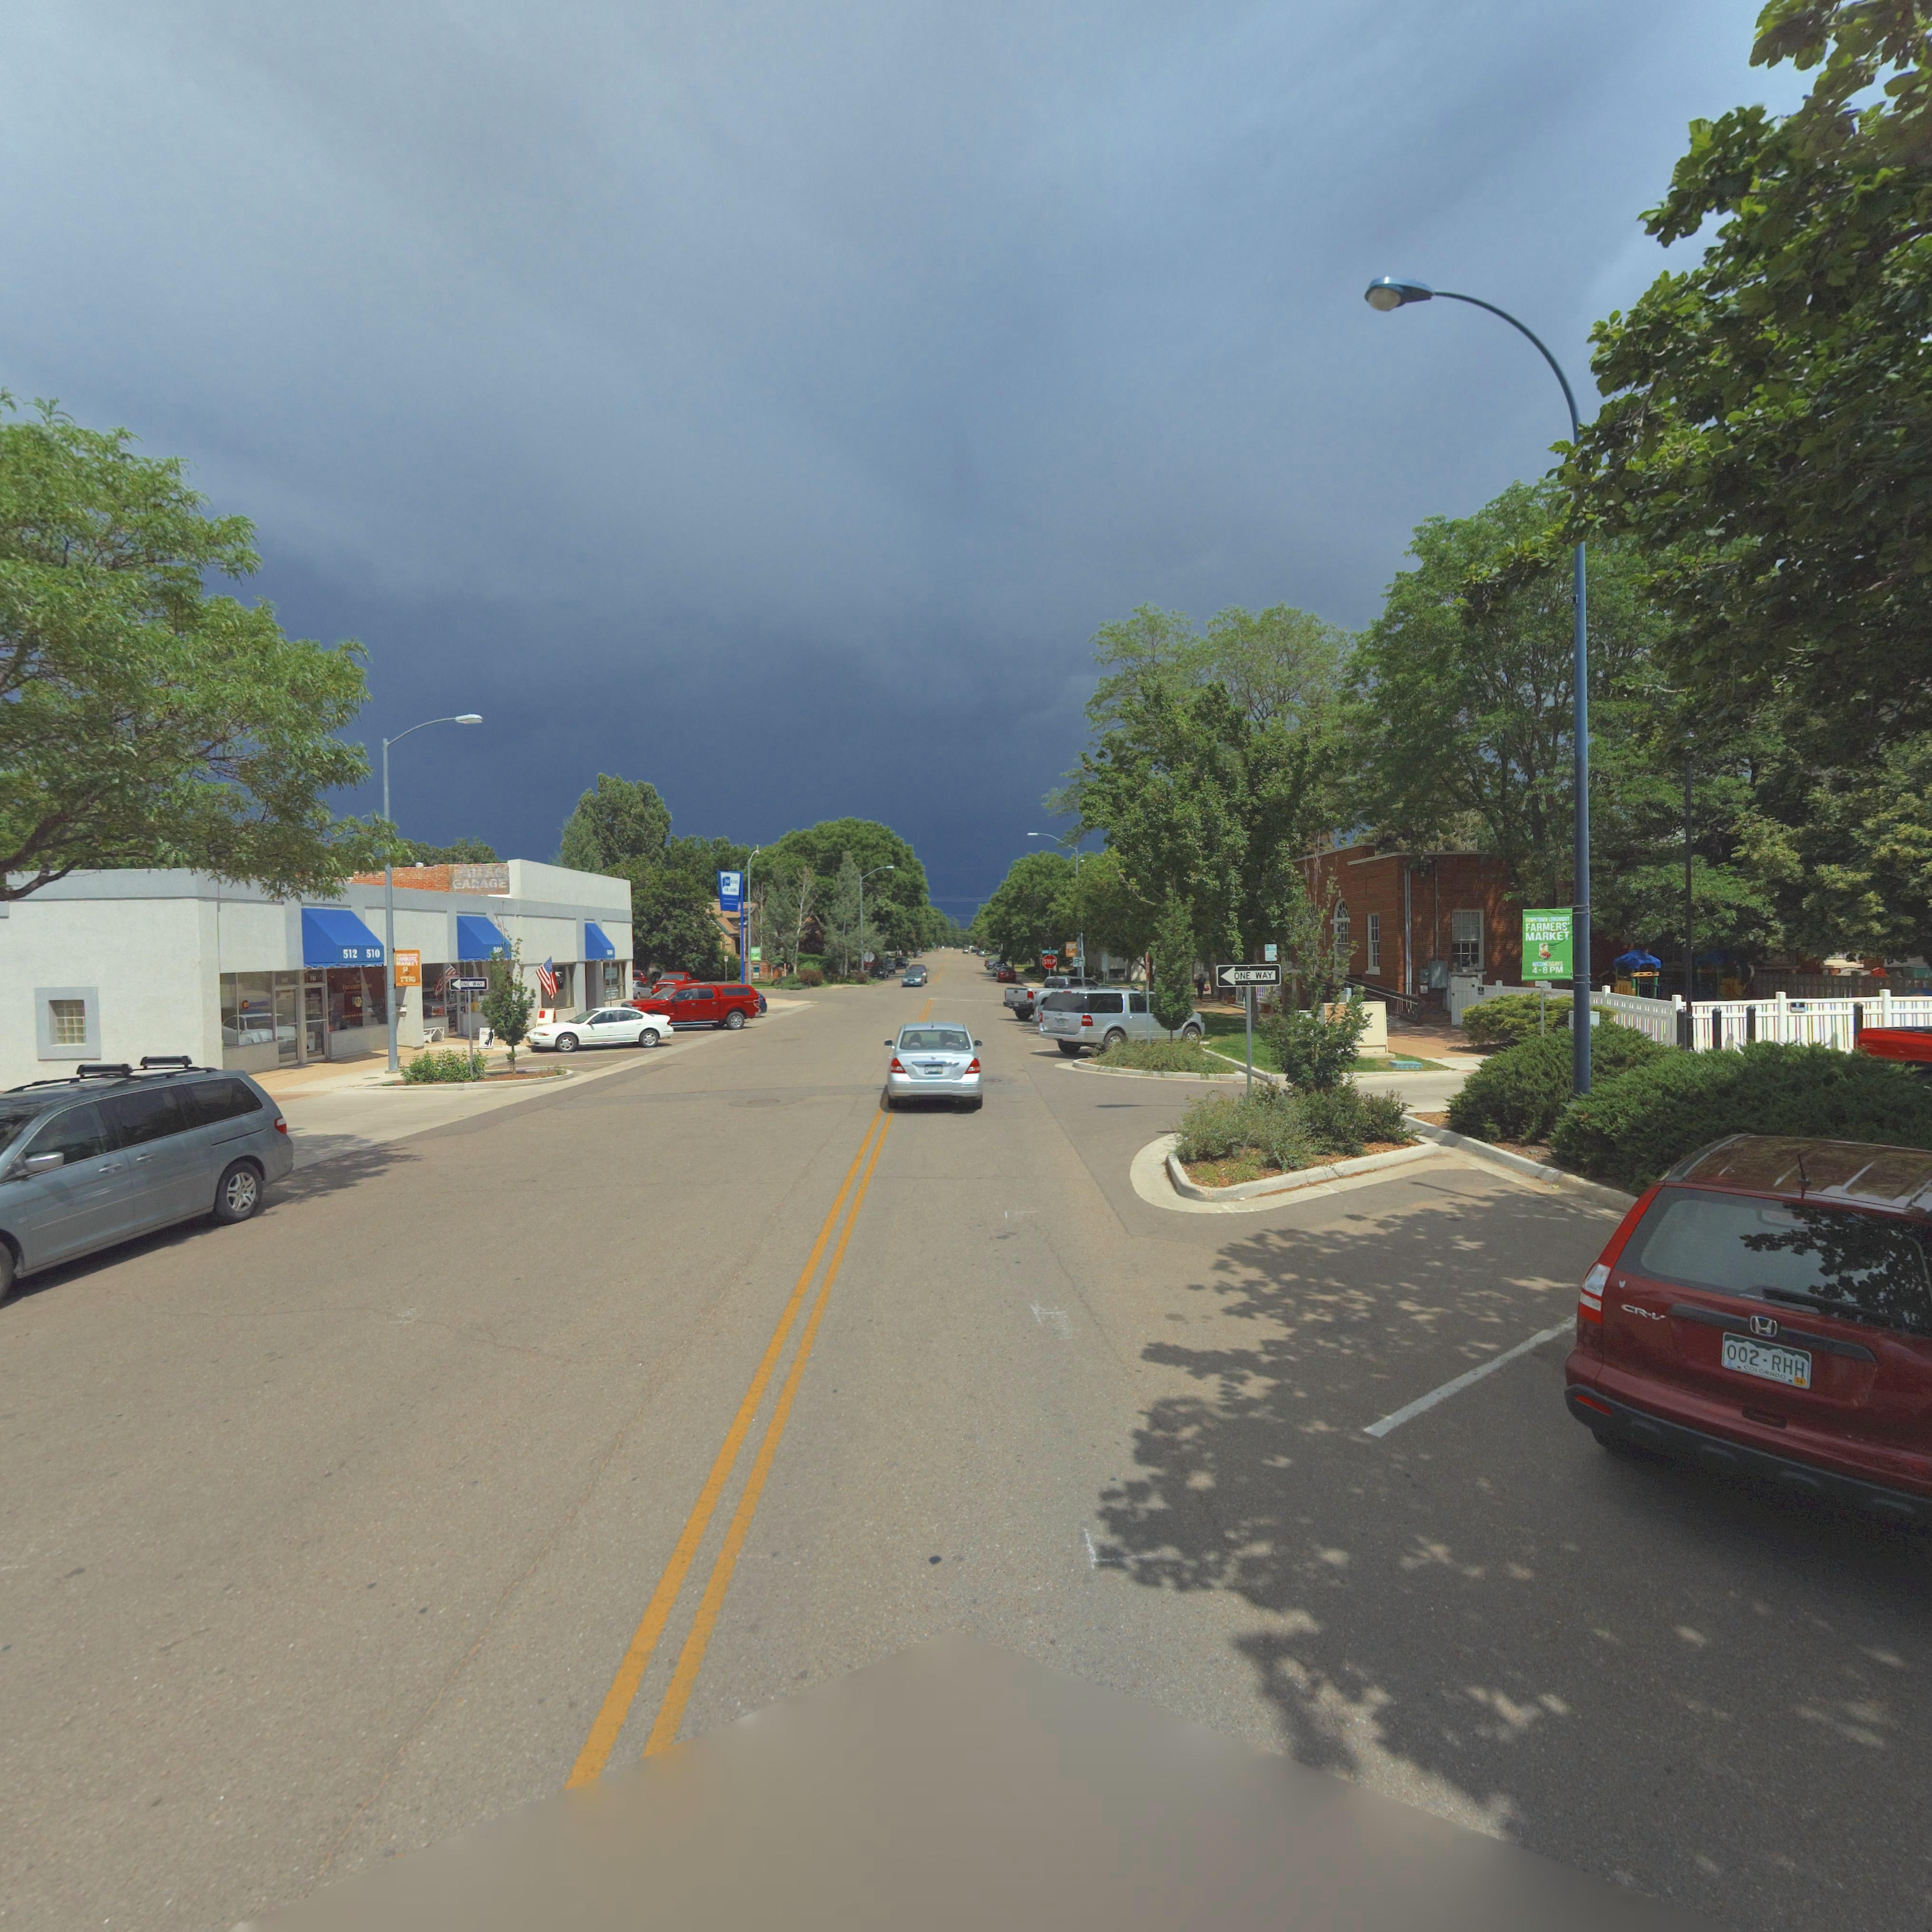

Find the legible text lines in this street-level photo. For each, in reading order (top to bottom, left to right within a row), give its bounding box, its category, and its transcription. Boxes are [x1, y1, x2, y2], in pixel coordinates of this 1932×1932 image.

[725, 879, 738, 884] BusinessName: SLADE
[724, 887, 737, 892] BusinessName: GLASS
[342, 948, 357, 958] StreetNumber: 512
[366, 948, 380, 958] StreetNumber: 510
[493, 947, 503, 953] StreetNumber: 50*
[607, 949, 613, 955] StreetNumber: 50*
[281, 977, 288, 983] StreetNumber: 512
[310, 976, 316, 981] StreetNumber: 510
[342, 983, 372, 990] BusinessName: HU**** C*****
[241, 999, 268, 1009] BusinessName: Colorado